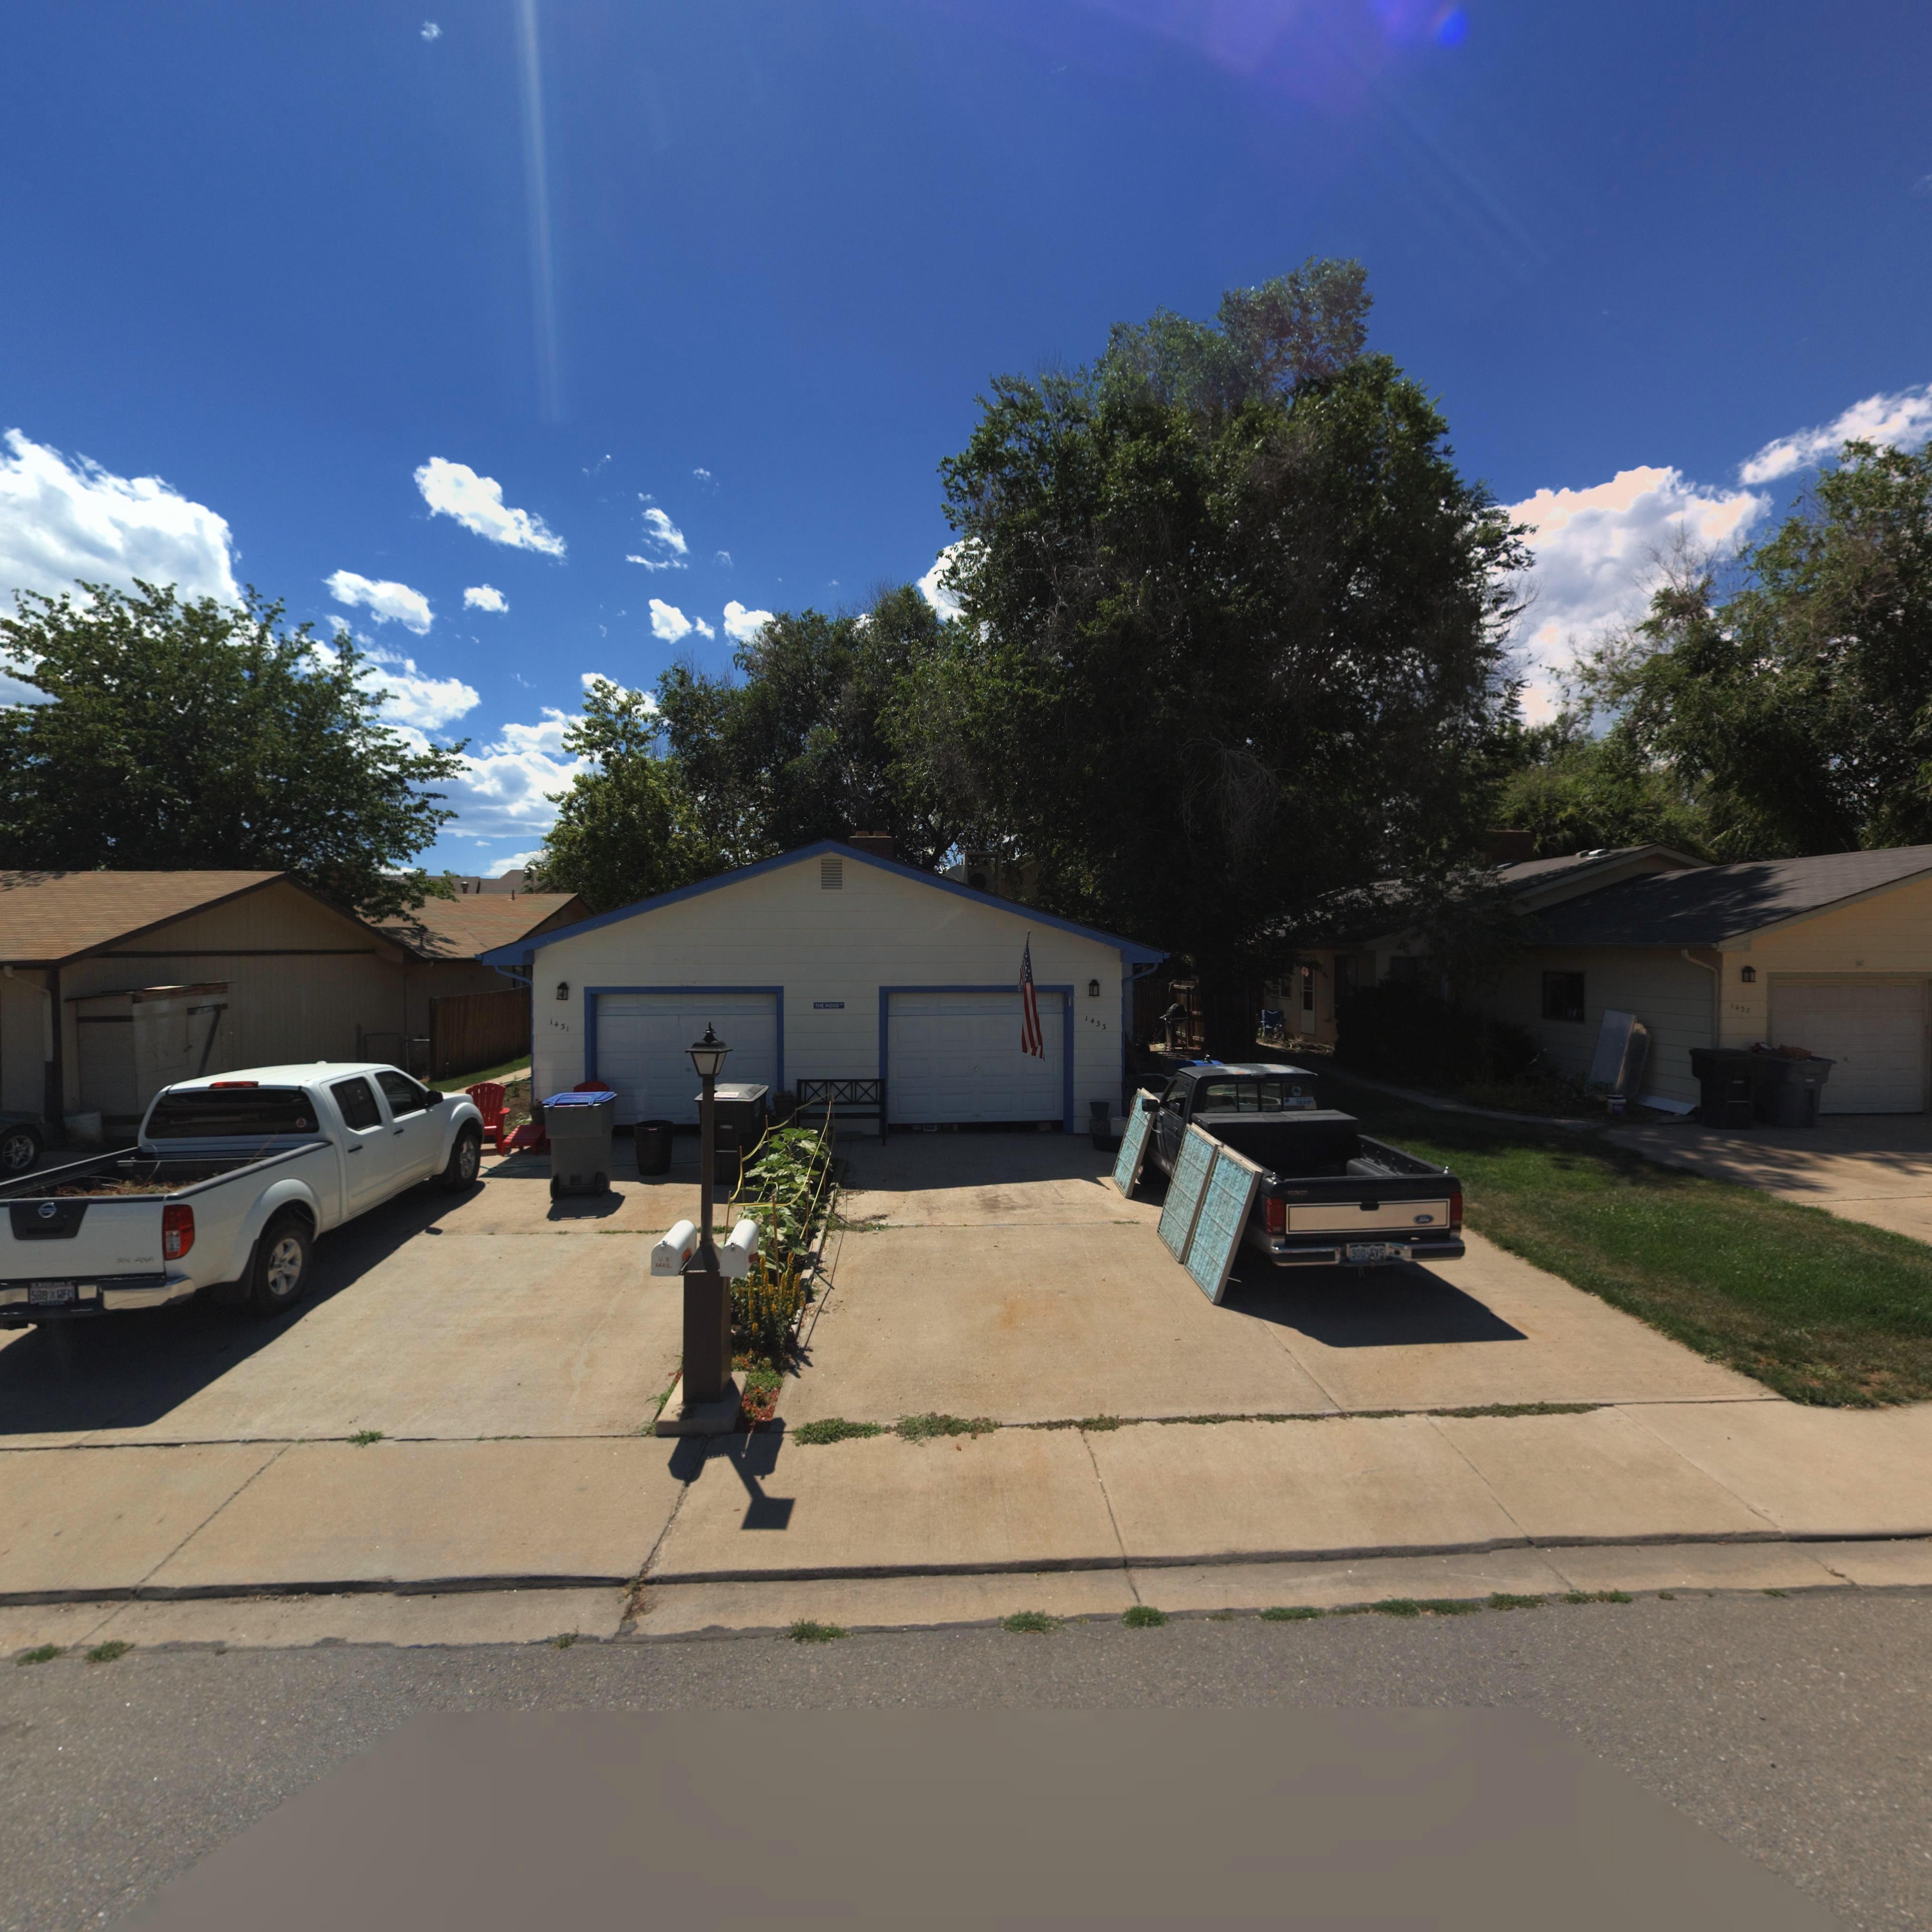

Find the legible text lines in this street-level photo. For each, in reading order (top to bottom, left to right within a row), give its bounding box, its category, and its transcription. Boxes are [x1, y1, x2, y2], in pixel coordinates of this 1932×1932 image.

[1730, 1002, 1750, 1014] StreetNumber: 1437
[550, 1018, 569, 1032] StreetNumber: 1431
[1085, 1015, 1106, 1030] StreetNumber: 1433